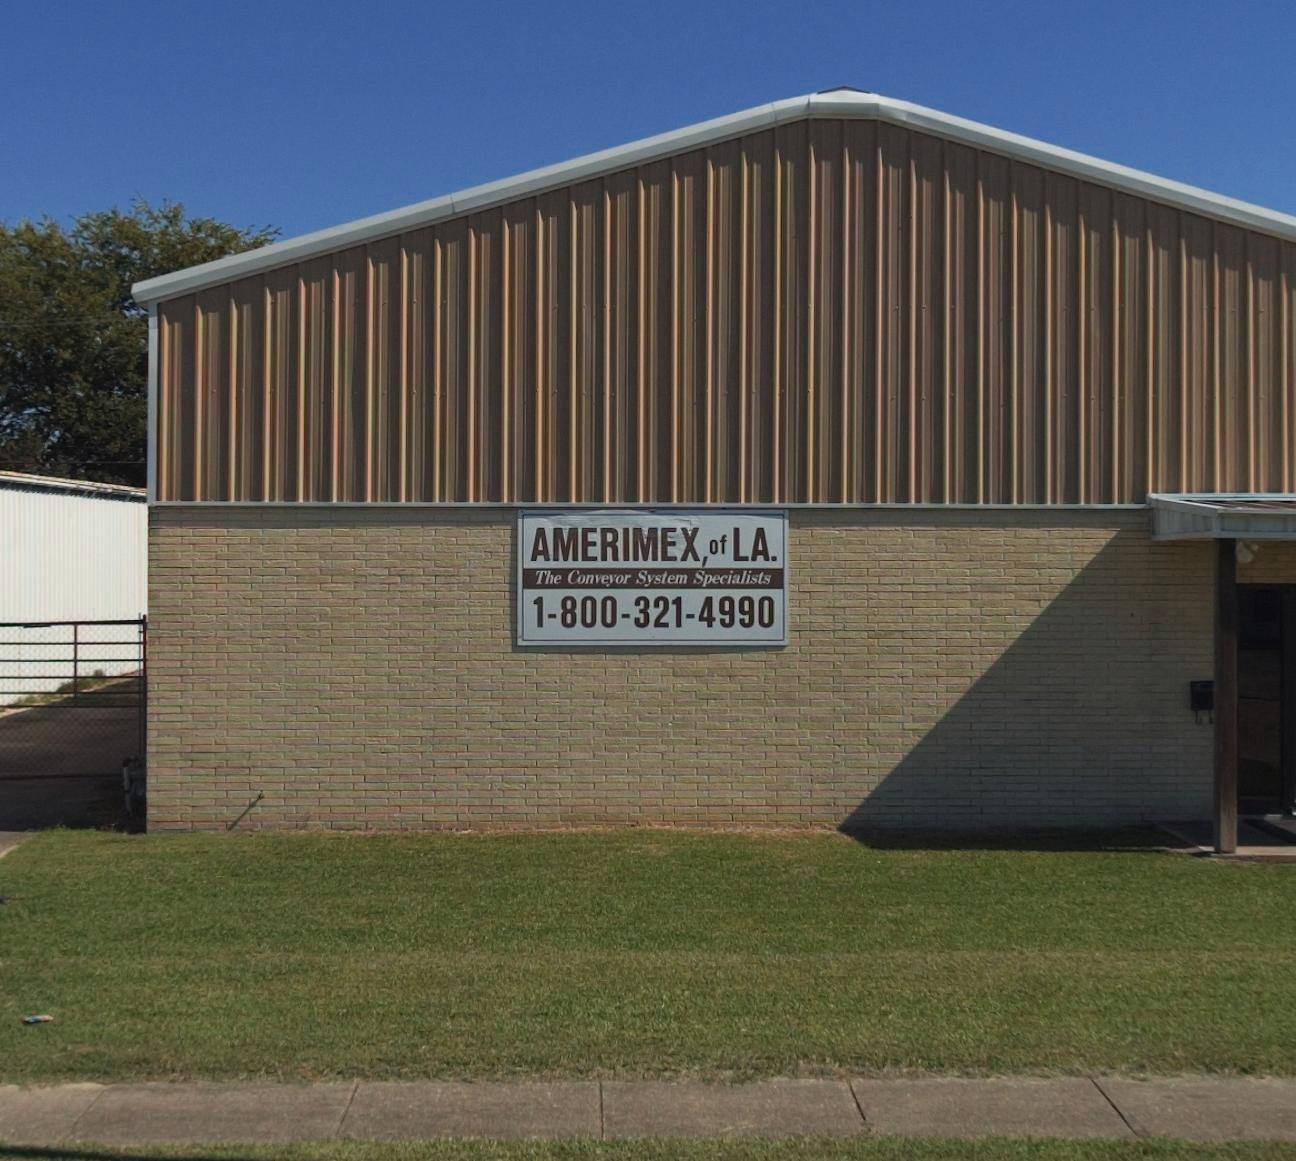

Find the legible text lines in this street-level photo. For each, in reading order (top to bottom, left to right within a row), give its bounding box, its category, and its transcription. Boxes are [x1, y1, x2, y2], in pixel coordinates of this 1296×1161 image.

[527, 525, 781, 569] BusinessName: AMERIMEX, of LA.
[532, 568, 775, 589] None: The Conveyor System Specialists
[529, 592, 777, 631] None: 1-800-321-4990